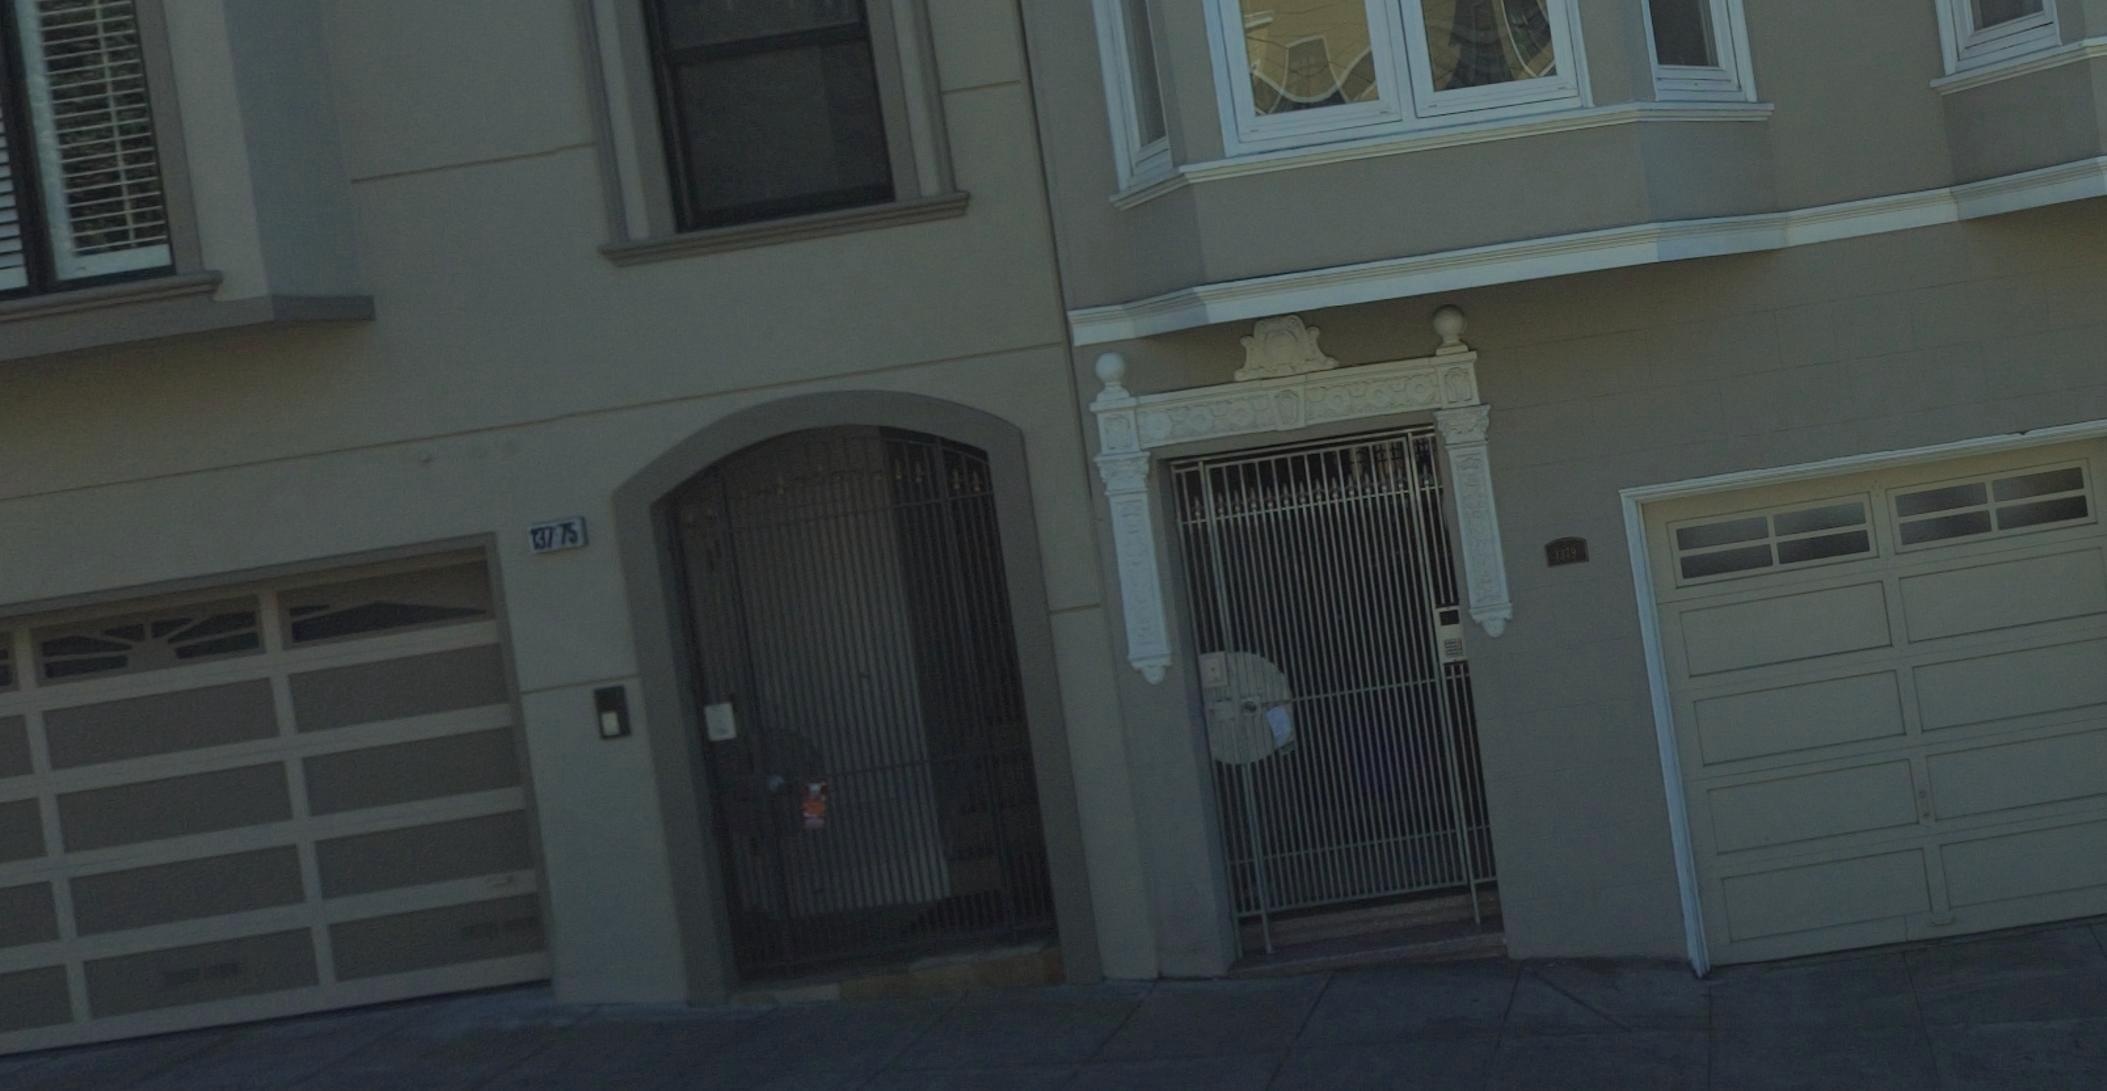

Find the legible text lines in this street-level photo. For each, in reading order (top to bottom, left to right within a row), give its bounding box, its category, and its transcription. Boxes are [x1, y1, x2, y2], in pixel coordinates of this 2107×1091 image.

[529, 518, 581, 550] StreetNumber: 137 75
[1554, 544, 1580, 562] StreetNumber: 1379